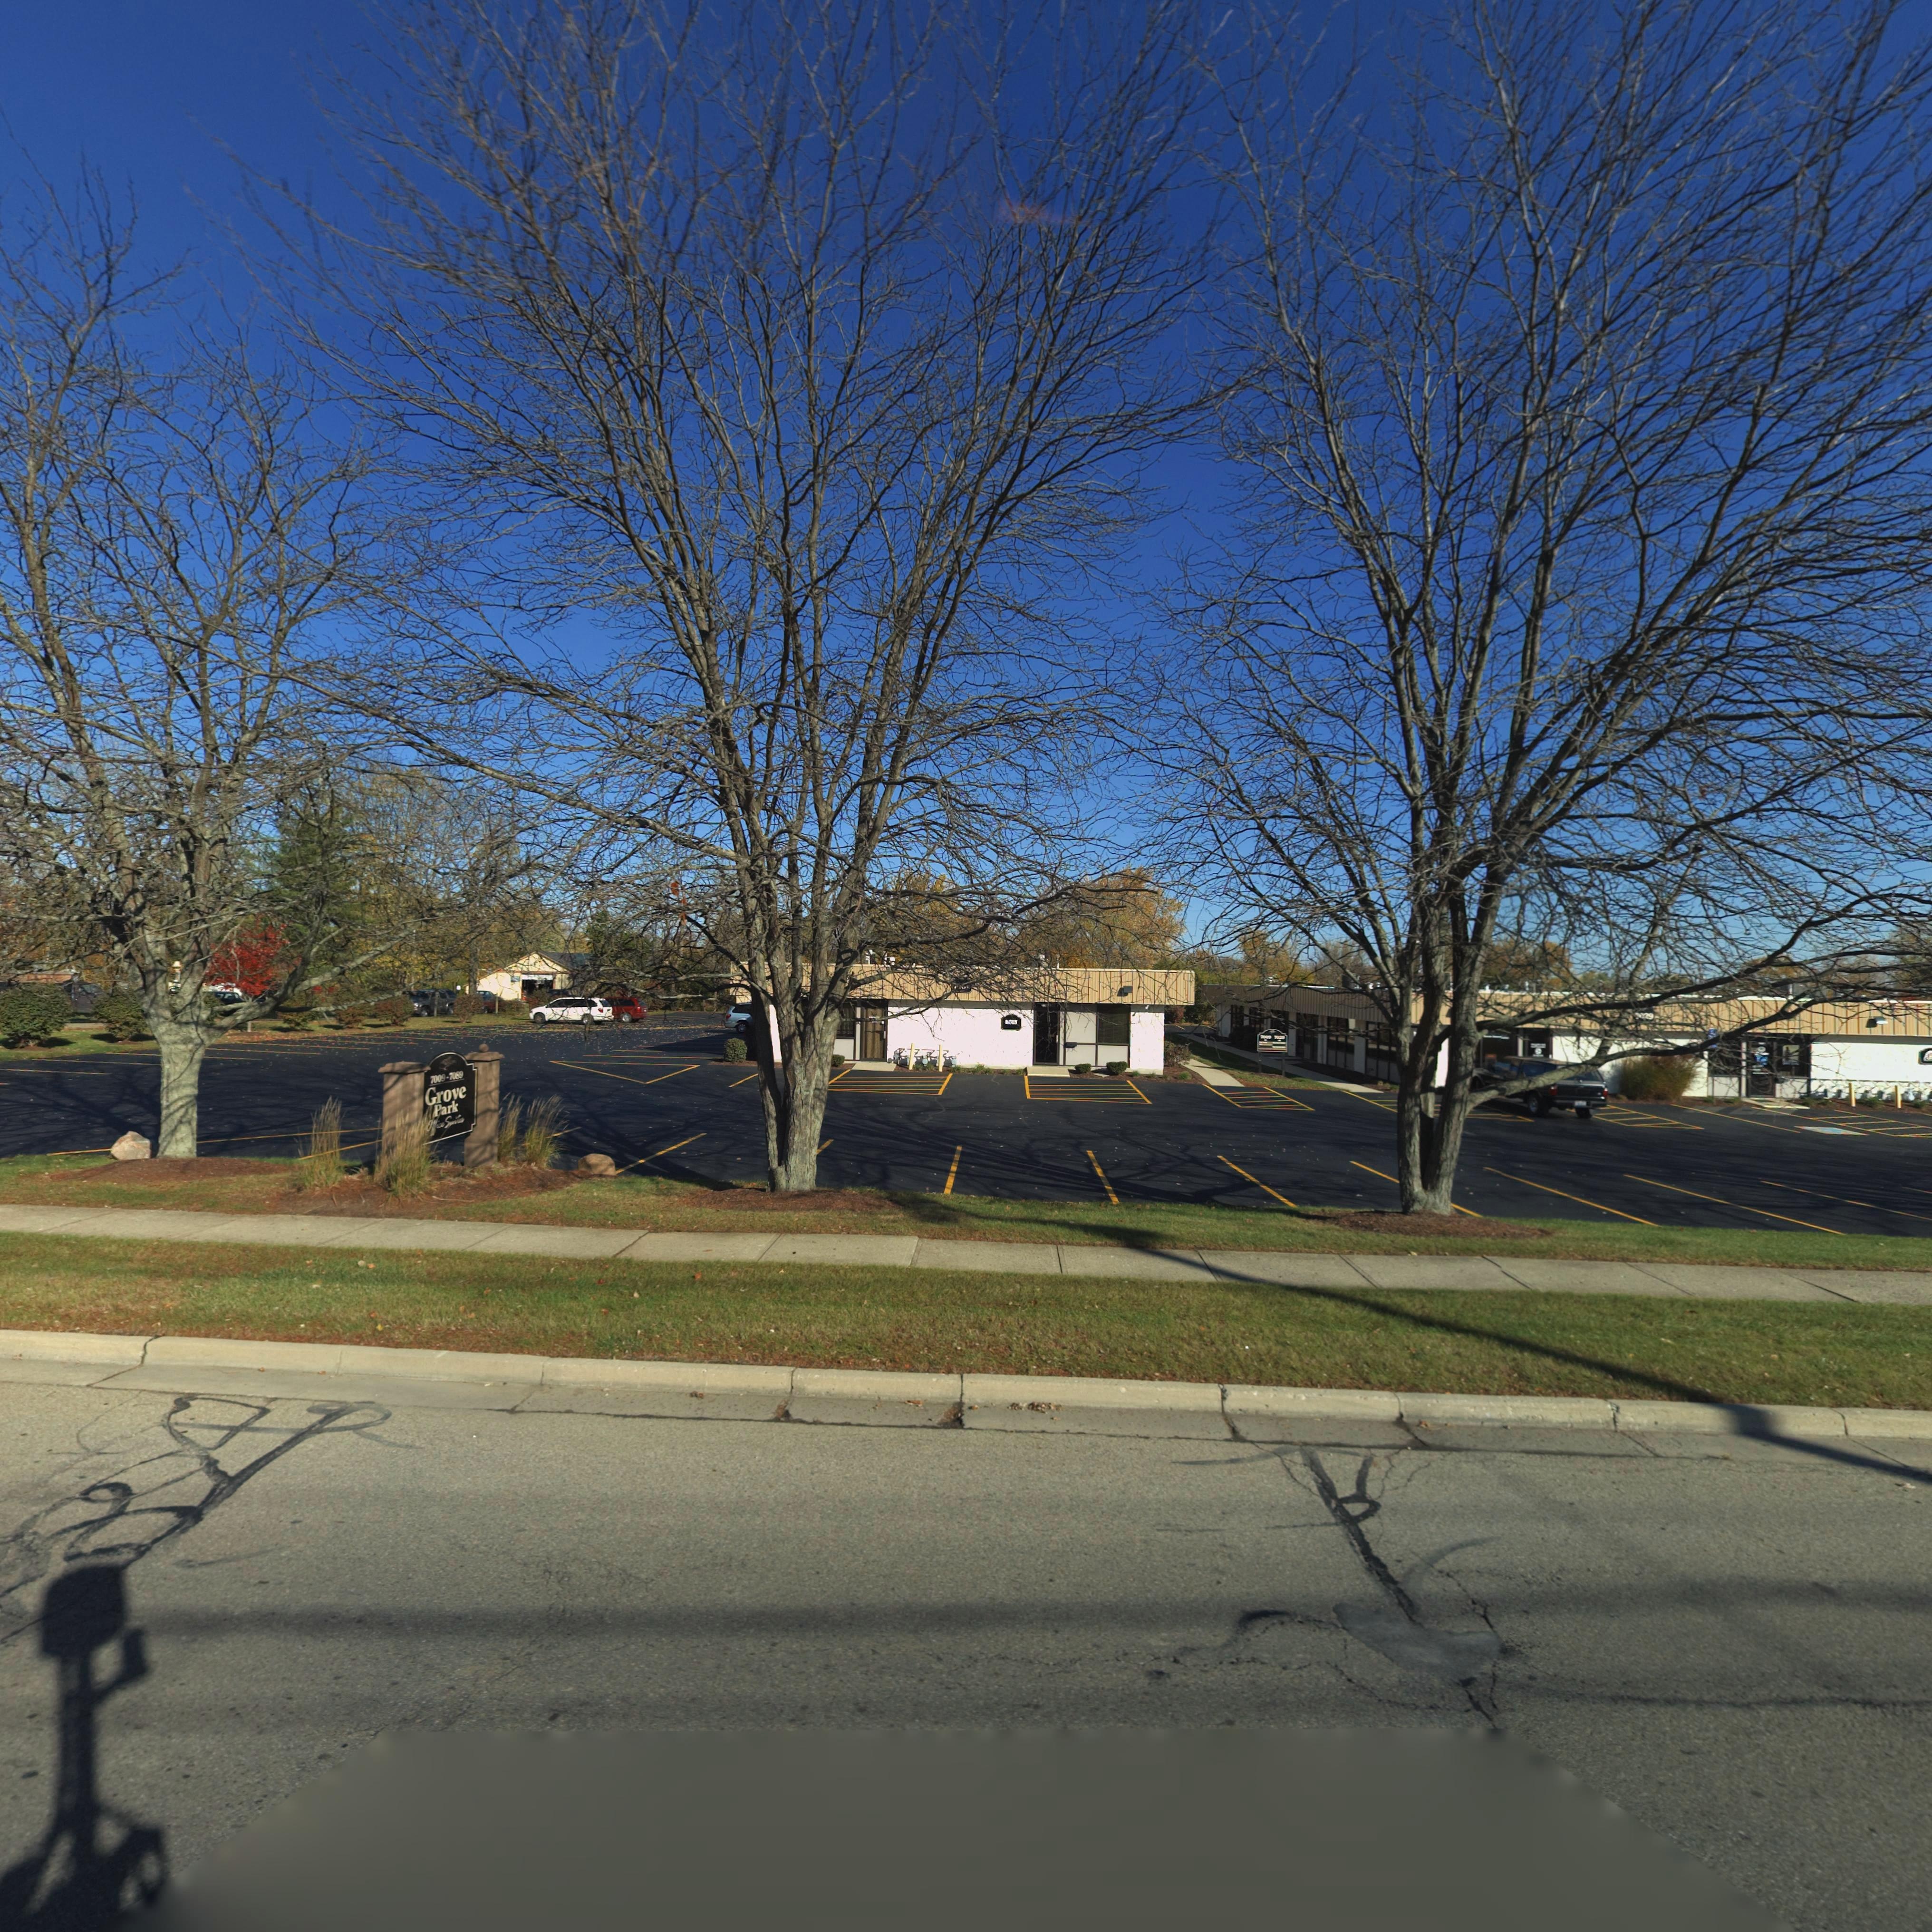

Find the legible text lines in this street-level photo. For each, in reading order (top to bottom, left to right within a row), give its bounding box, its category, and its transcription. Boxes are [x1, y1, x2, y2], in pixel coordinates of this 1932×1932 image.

[1643, 1012, 1655, 1021] StreetNumber: *9
[429, 1072, 447, 1086] StreetNumber: 7009
[448, 1069, 464, 1081] StreetNumber: 7089
[433, 1100, 459, 1118] None: Park
[425, 1114, 466, 1138] None: Office Suite